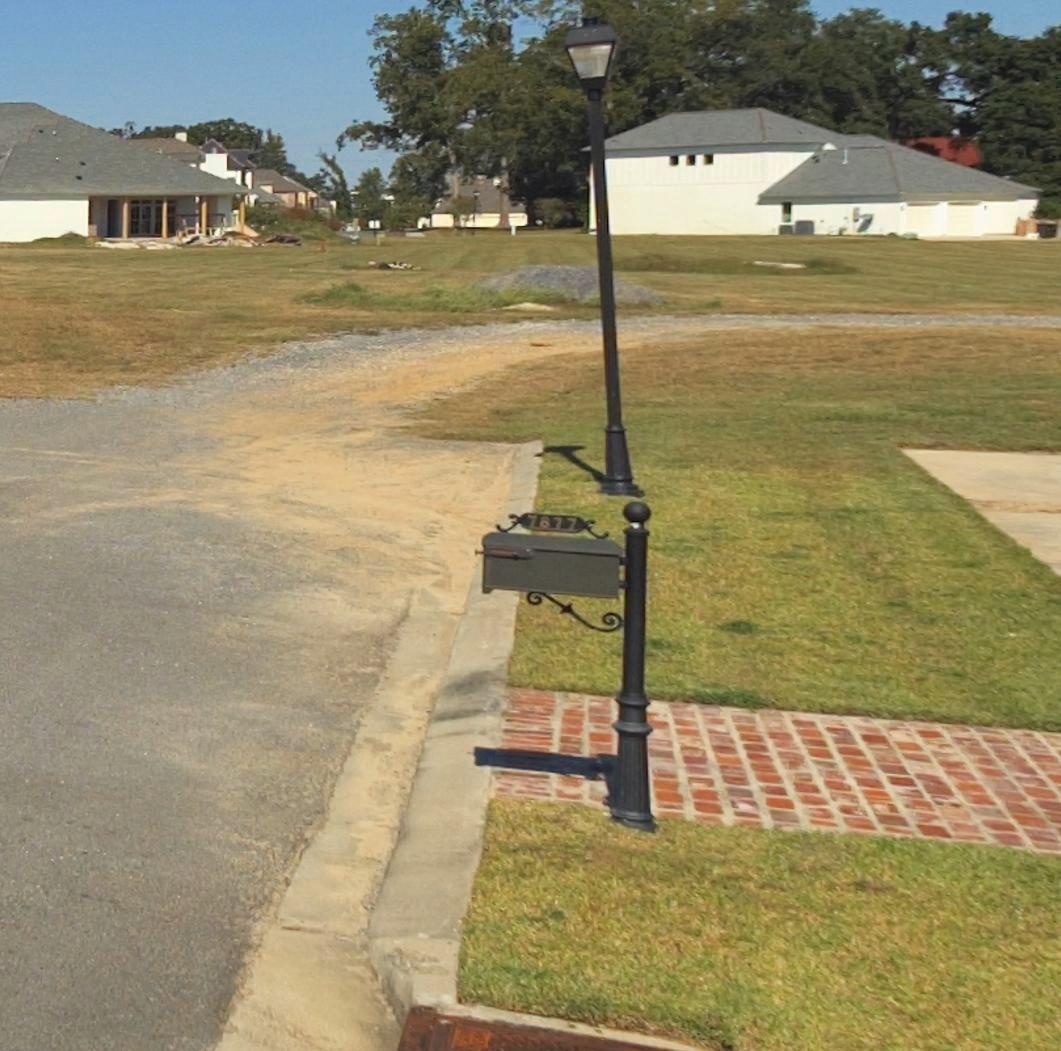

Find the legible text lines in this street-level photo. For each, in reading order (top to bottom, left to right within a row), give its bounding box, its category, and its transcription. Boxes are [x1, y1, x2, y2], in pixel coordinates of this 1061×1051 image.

[526, 514, 578, 530] StreetNumber: 7877